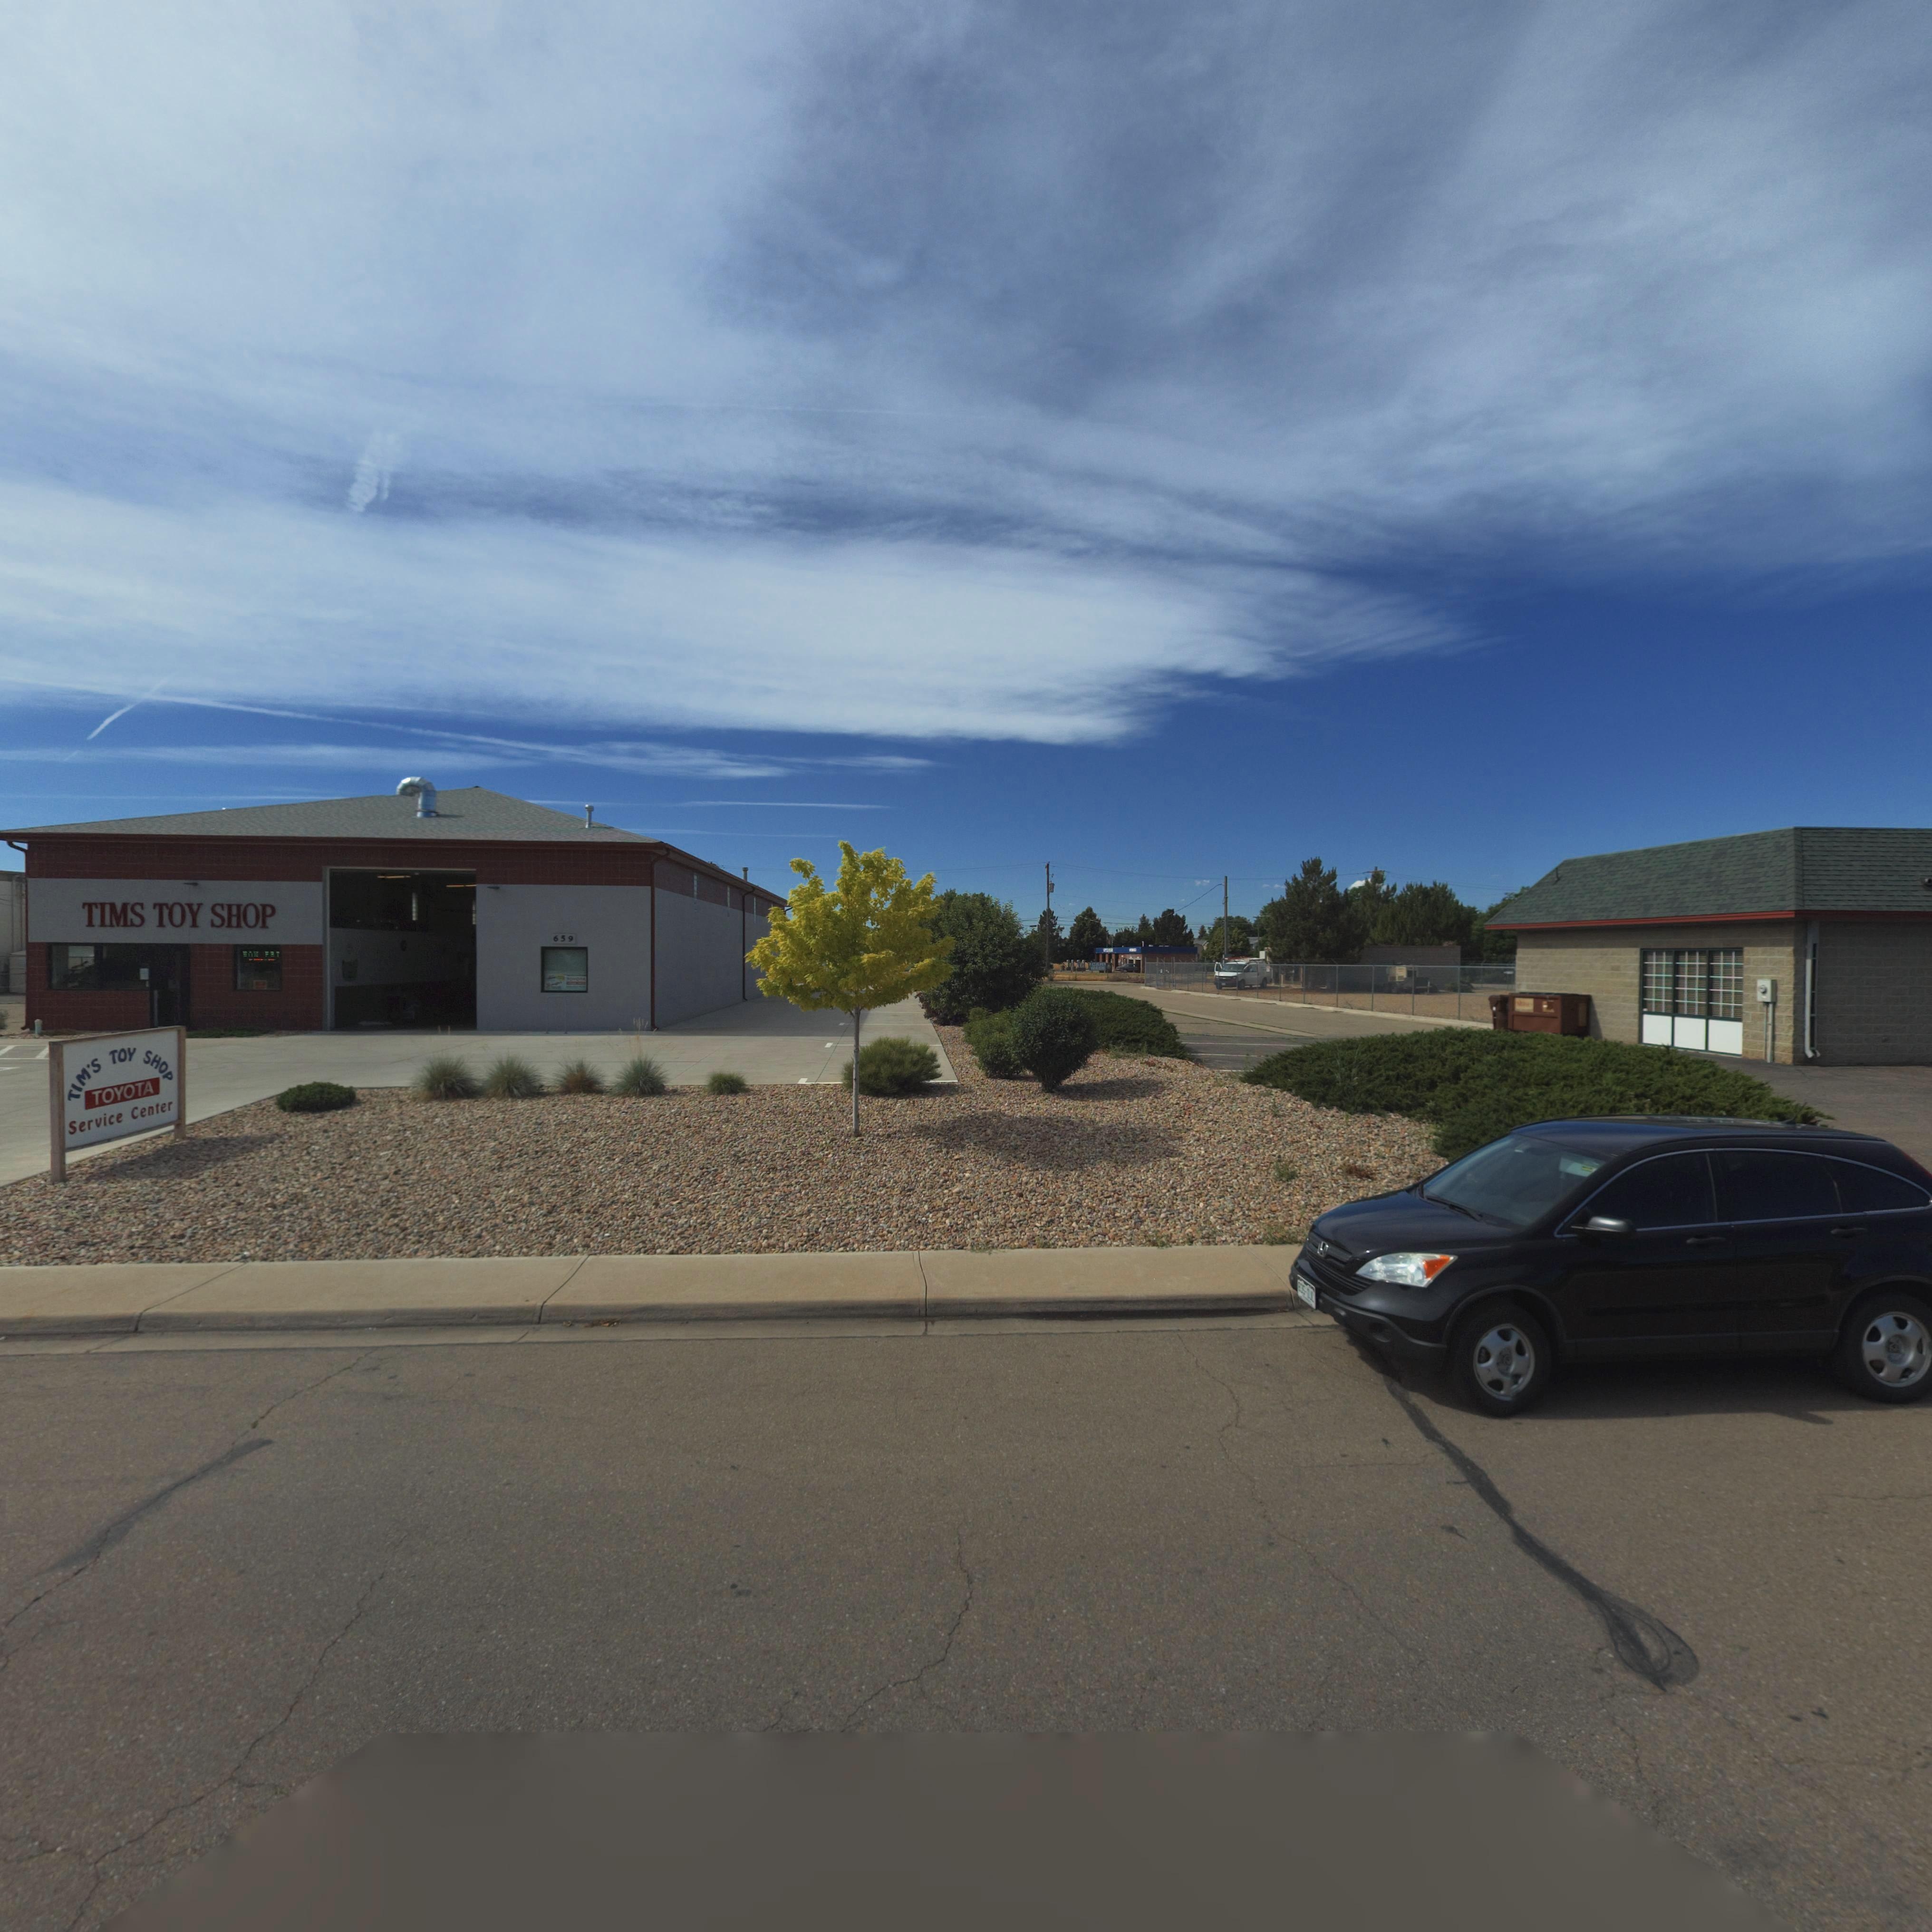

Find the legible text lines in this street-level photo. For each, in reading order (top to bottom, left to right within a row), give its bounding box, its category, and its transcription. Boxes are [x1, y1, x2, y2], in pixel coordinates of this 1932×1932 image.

[81, 901, 276, 929] BusinessName: TIM'S TOY SHOP
[553, 935, 573, 942] StreetNumber: 659
[67, 1046, 173, 1101] BusinessName: TIM'S TOY SHOP